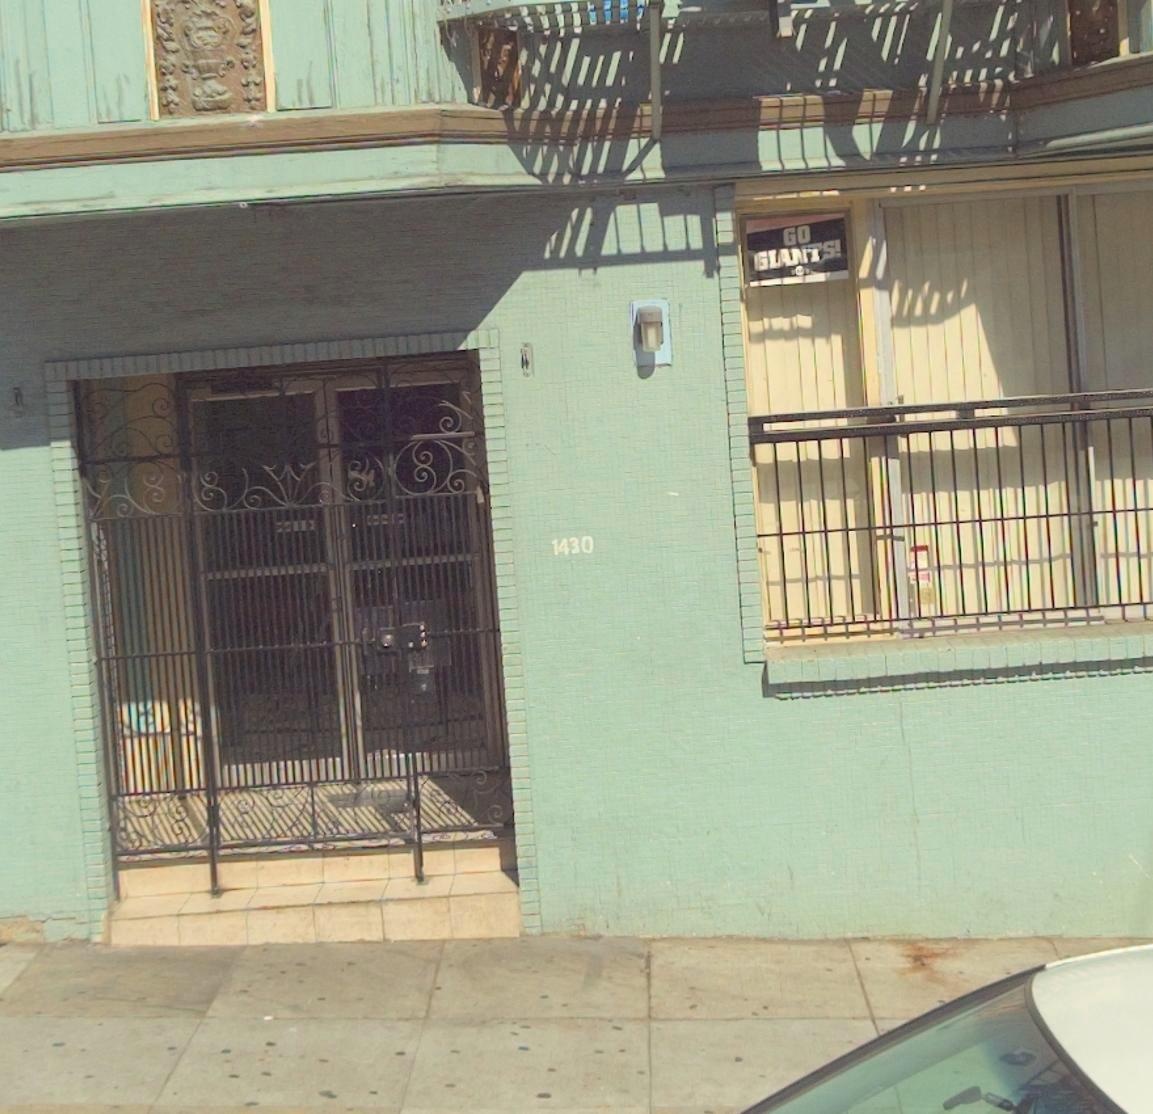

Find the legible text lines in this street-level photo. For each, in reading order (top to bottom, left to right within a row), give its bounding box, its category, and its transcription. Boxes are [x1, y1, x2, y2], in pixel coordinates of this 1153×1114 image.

[781, 223, 813, 247] None: GO
[751, 237, 843, 274] None: GIANTS!
[550, 534, 595, 557] StreetNumber: 1430